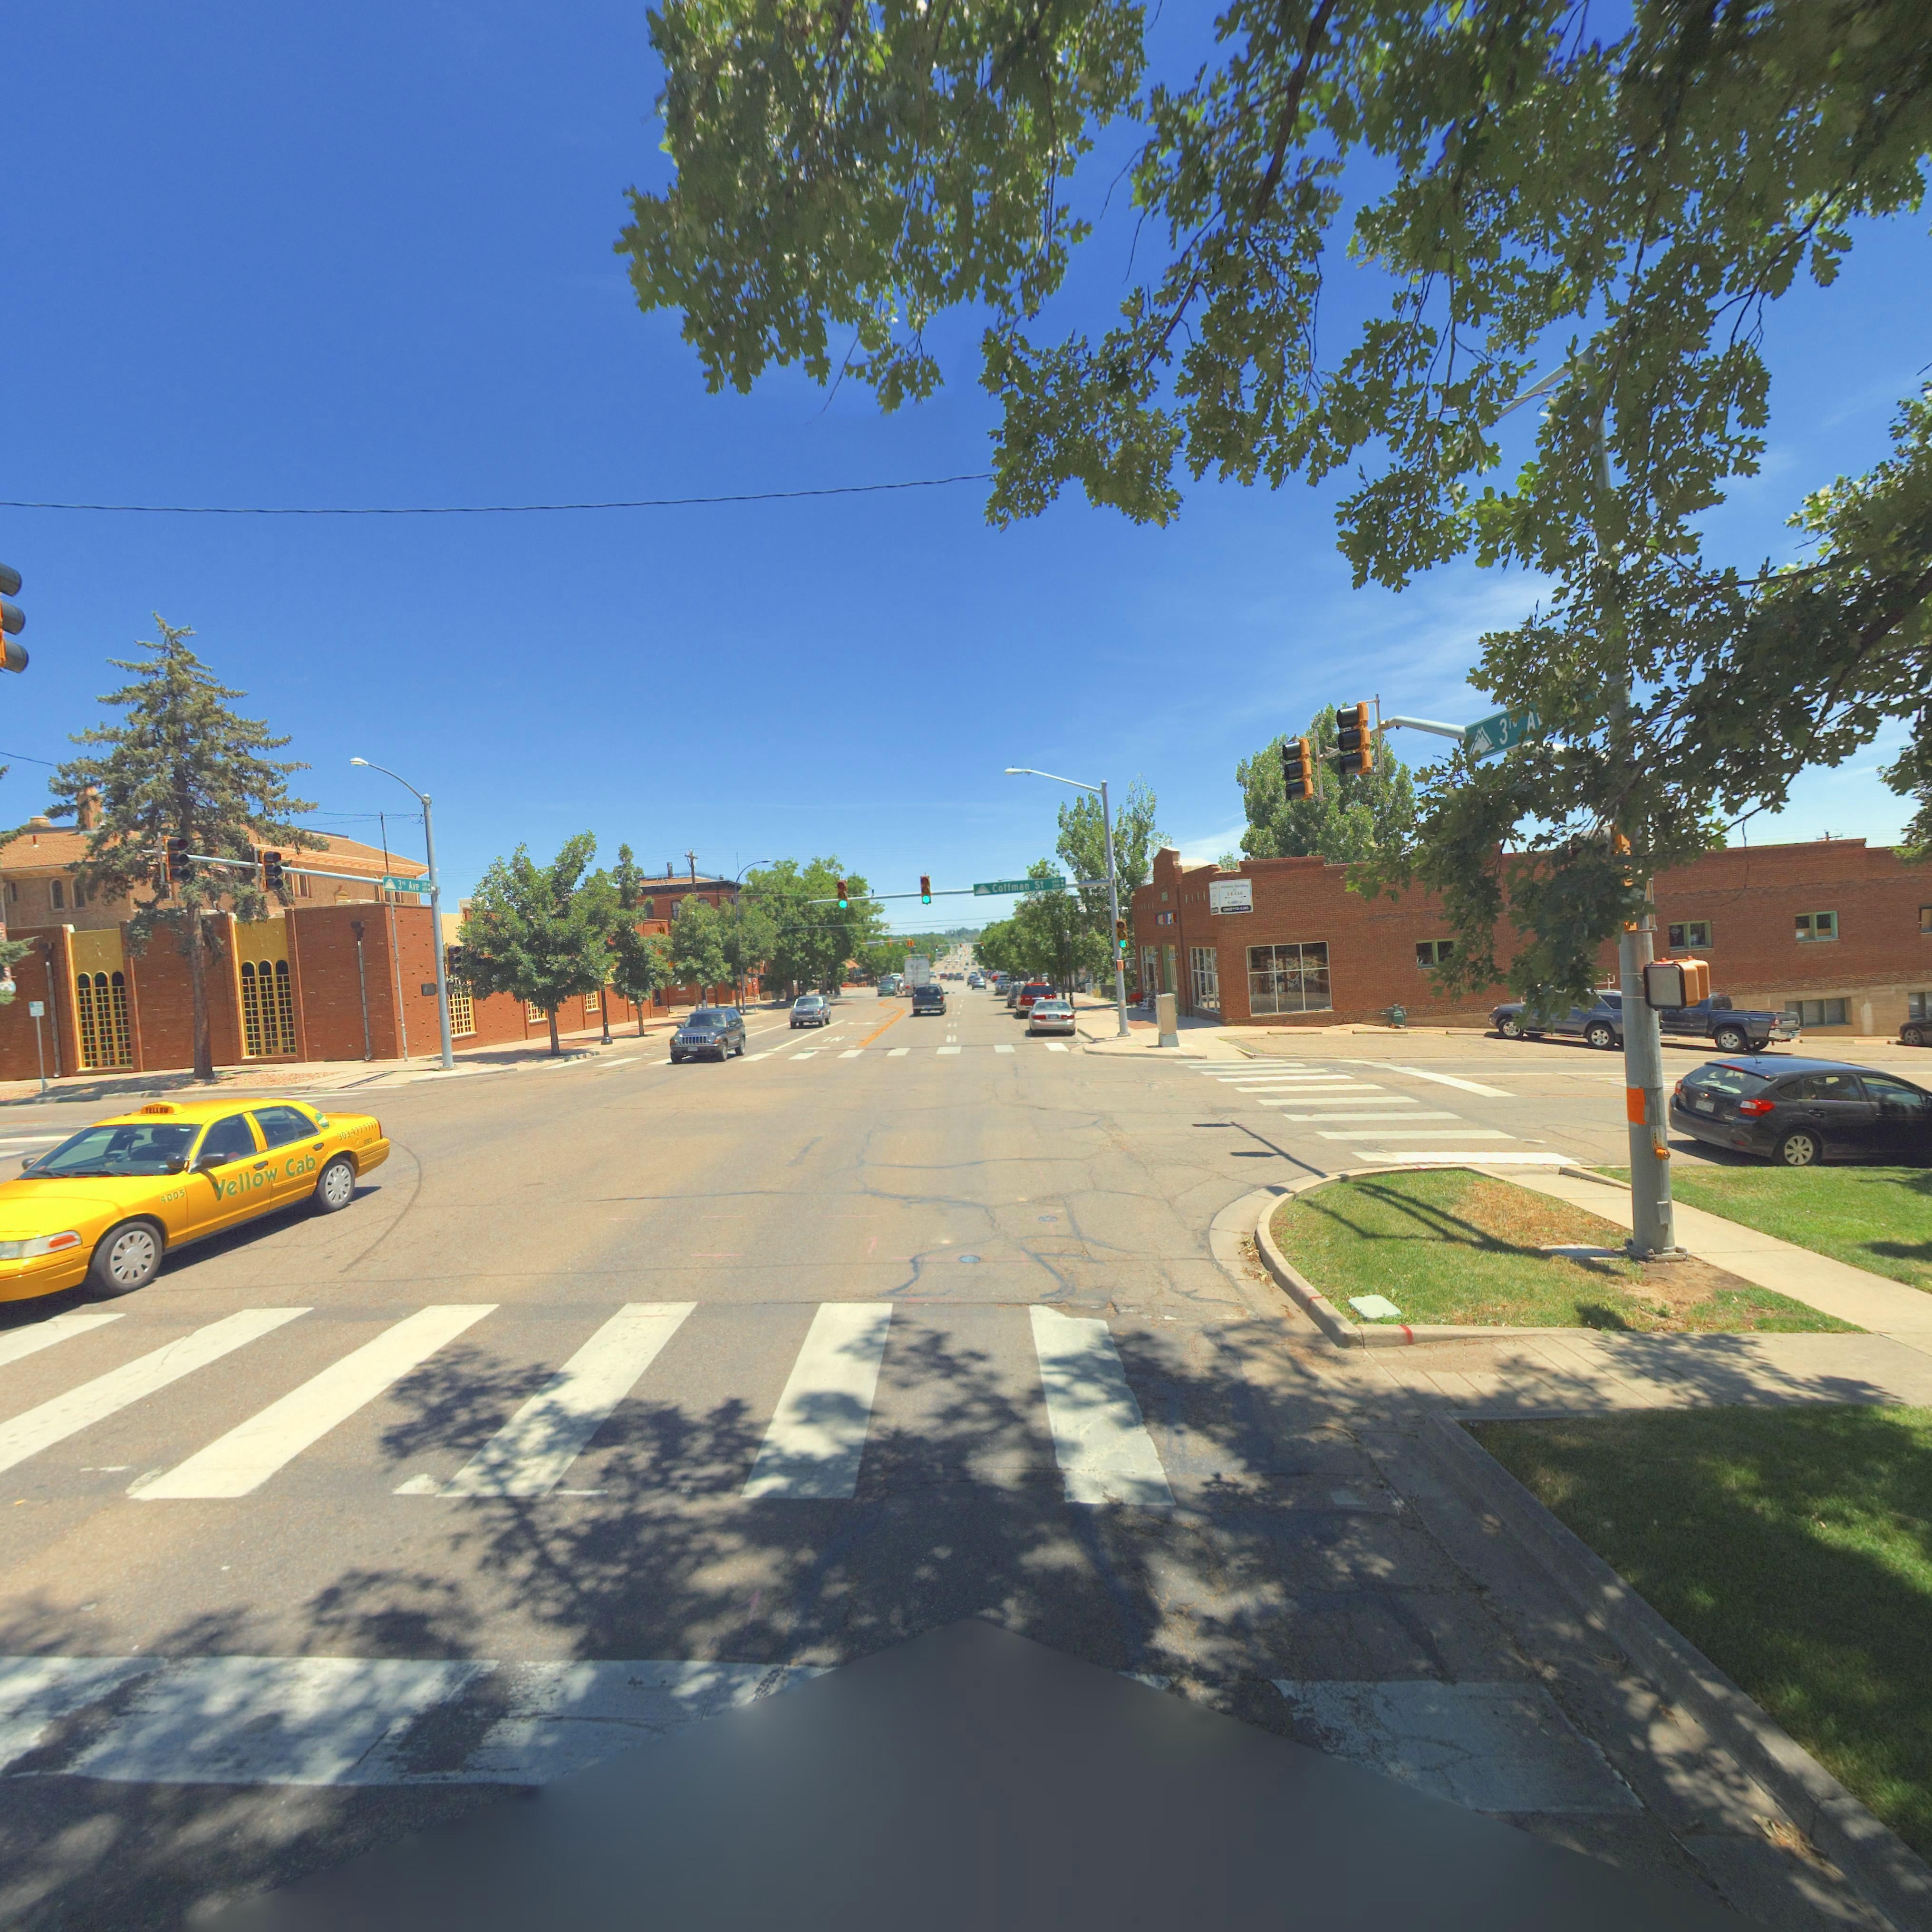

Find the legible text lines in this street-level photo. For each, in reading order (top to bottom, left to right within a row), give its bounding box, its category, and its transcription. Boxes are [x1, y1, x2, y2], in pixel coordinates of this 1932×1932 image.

[1498, 698, 1565, 745] StreetName: 3r* A**
[1052, 879, 1060, 883] StreetNumberRange: *00
[397, 879, 419, 891] StreetName: 3rd Ave
[422, 881, 427, 887] StreetNumberRange: 300
[991, 879, 1044, 893] StreetName: Coffman St
[1052, 883, 1065, 888] StreetNumberRange: 200->
[422, 887, 431, 891] StreetName: 600->